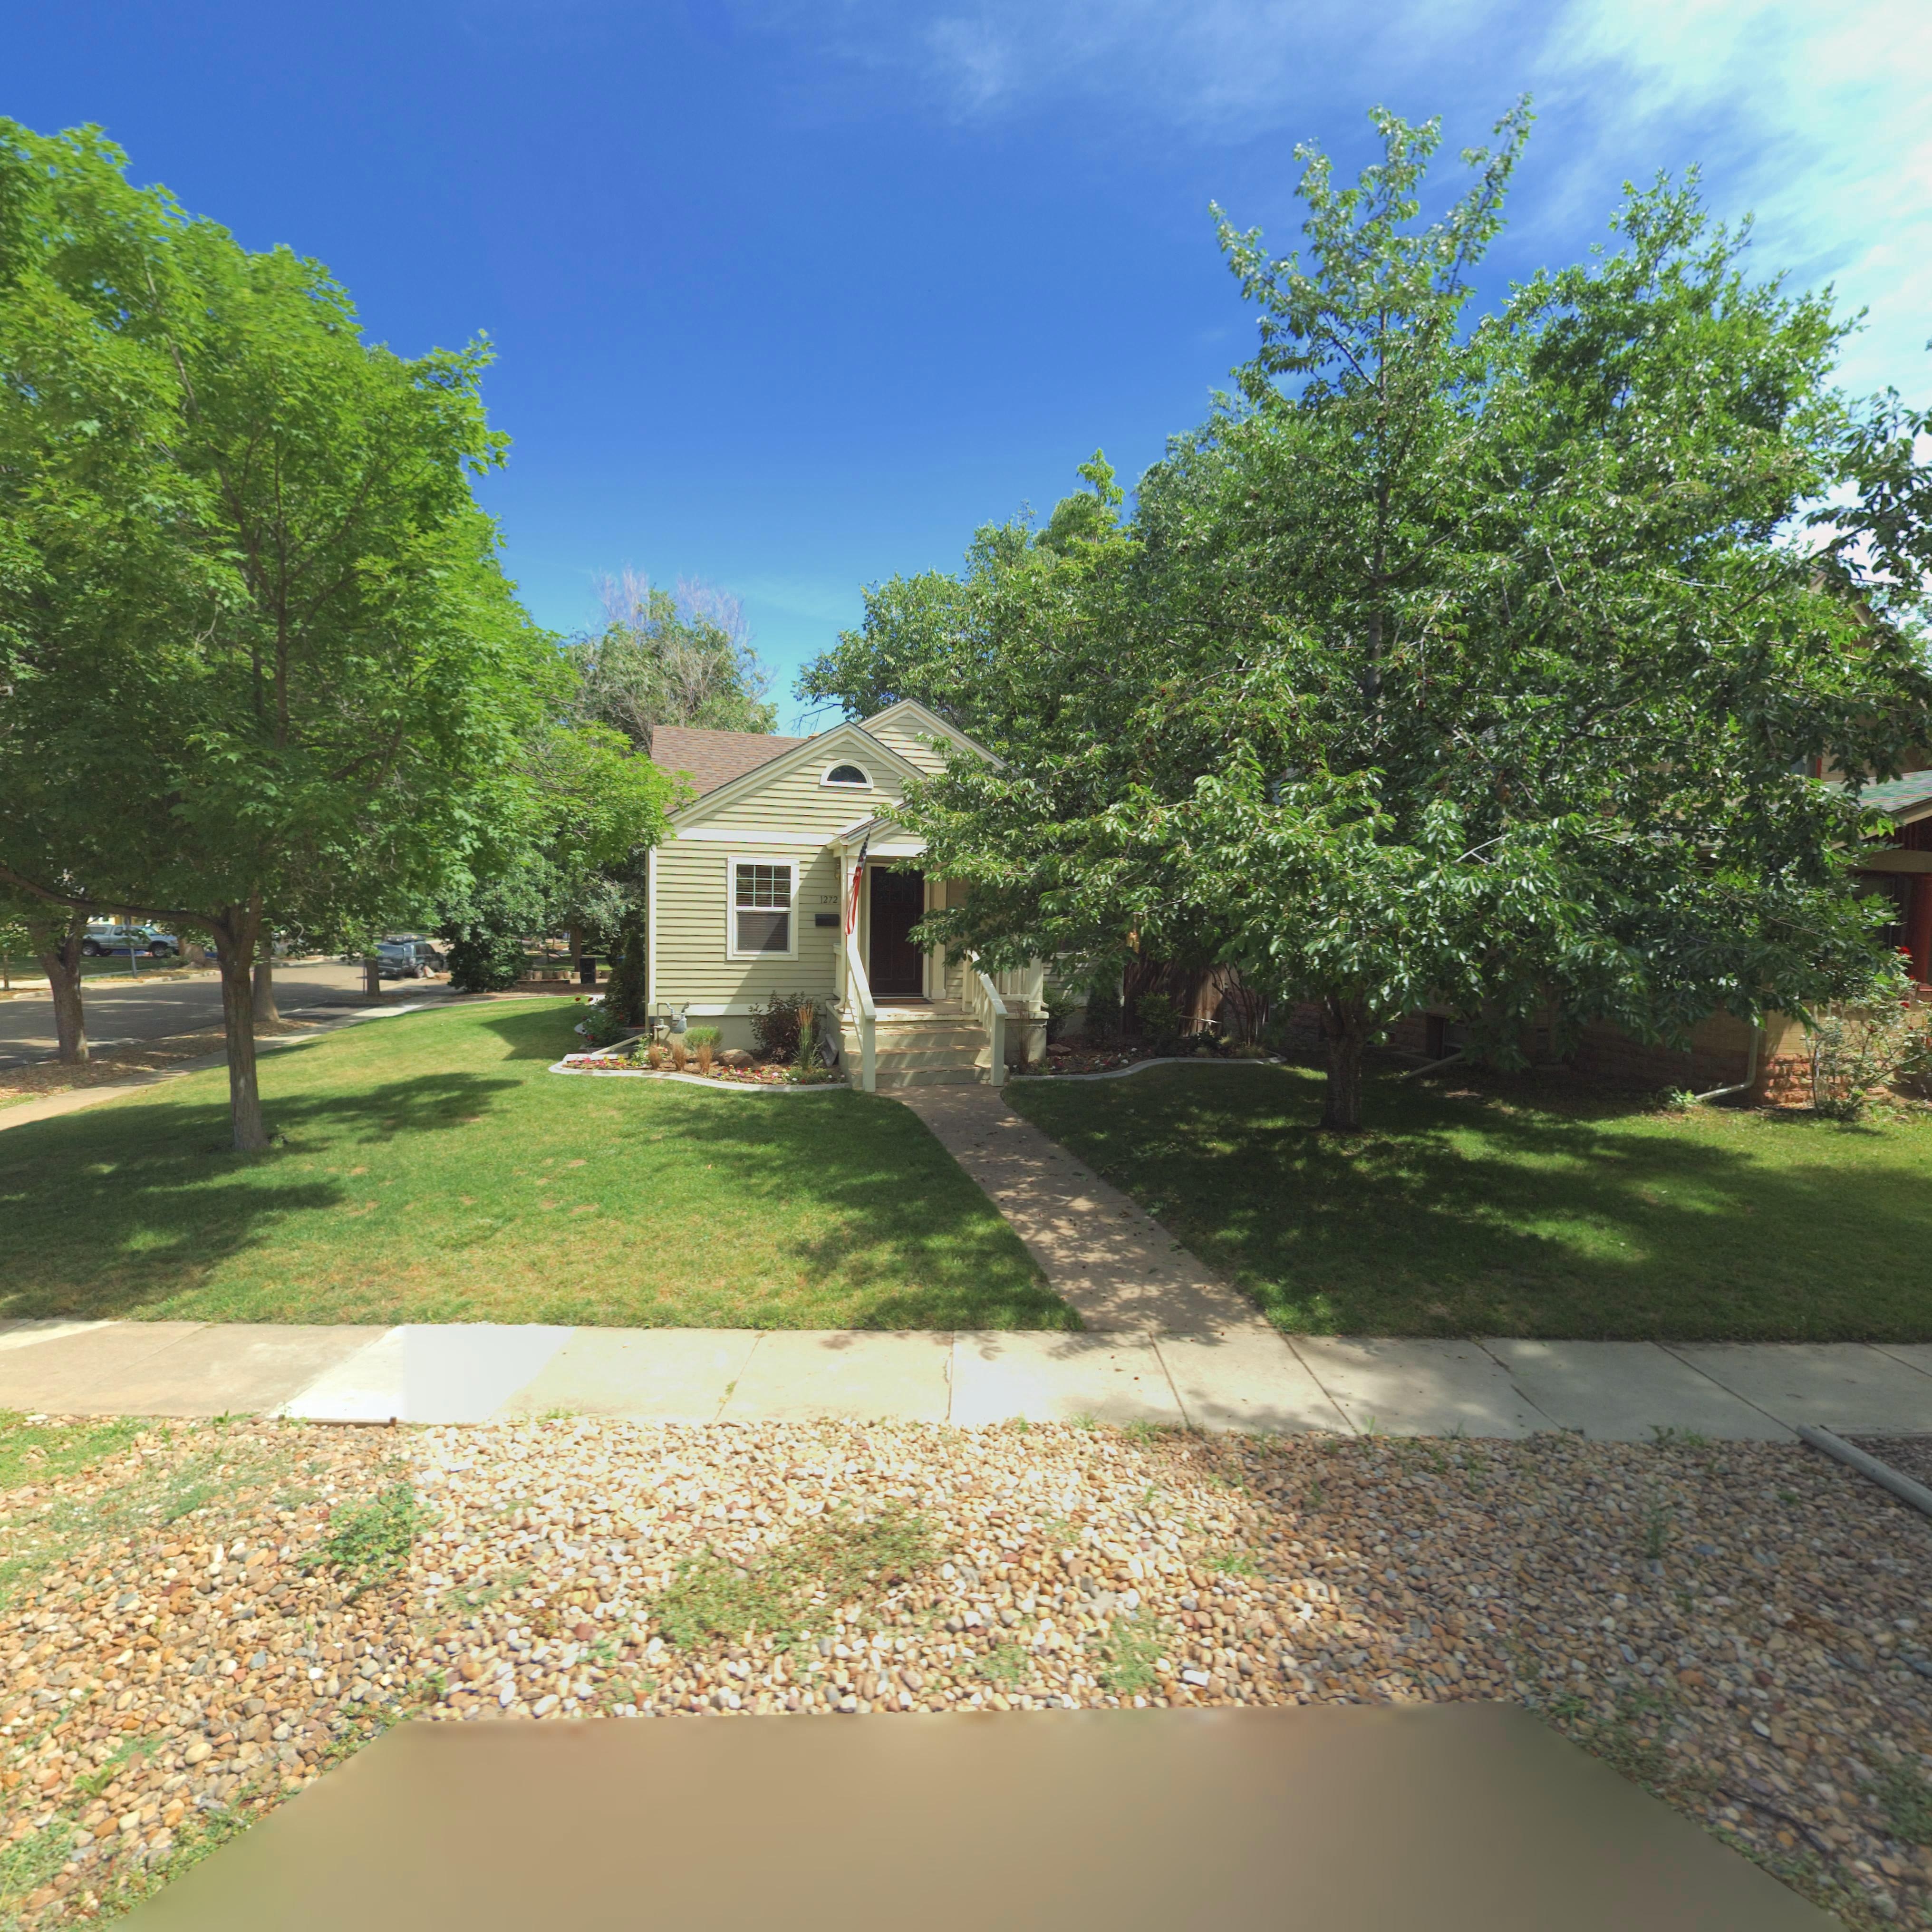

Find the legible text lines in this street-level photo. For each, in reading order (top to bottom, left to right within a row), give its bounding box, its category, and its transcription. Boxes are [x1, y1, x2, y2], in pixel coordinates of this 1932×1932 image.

[821, 895, 838, 903] StreetNumber: 1272